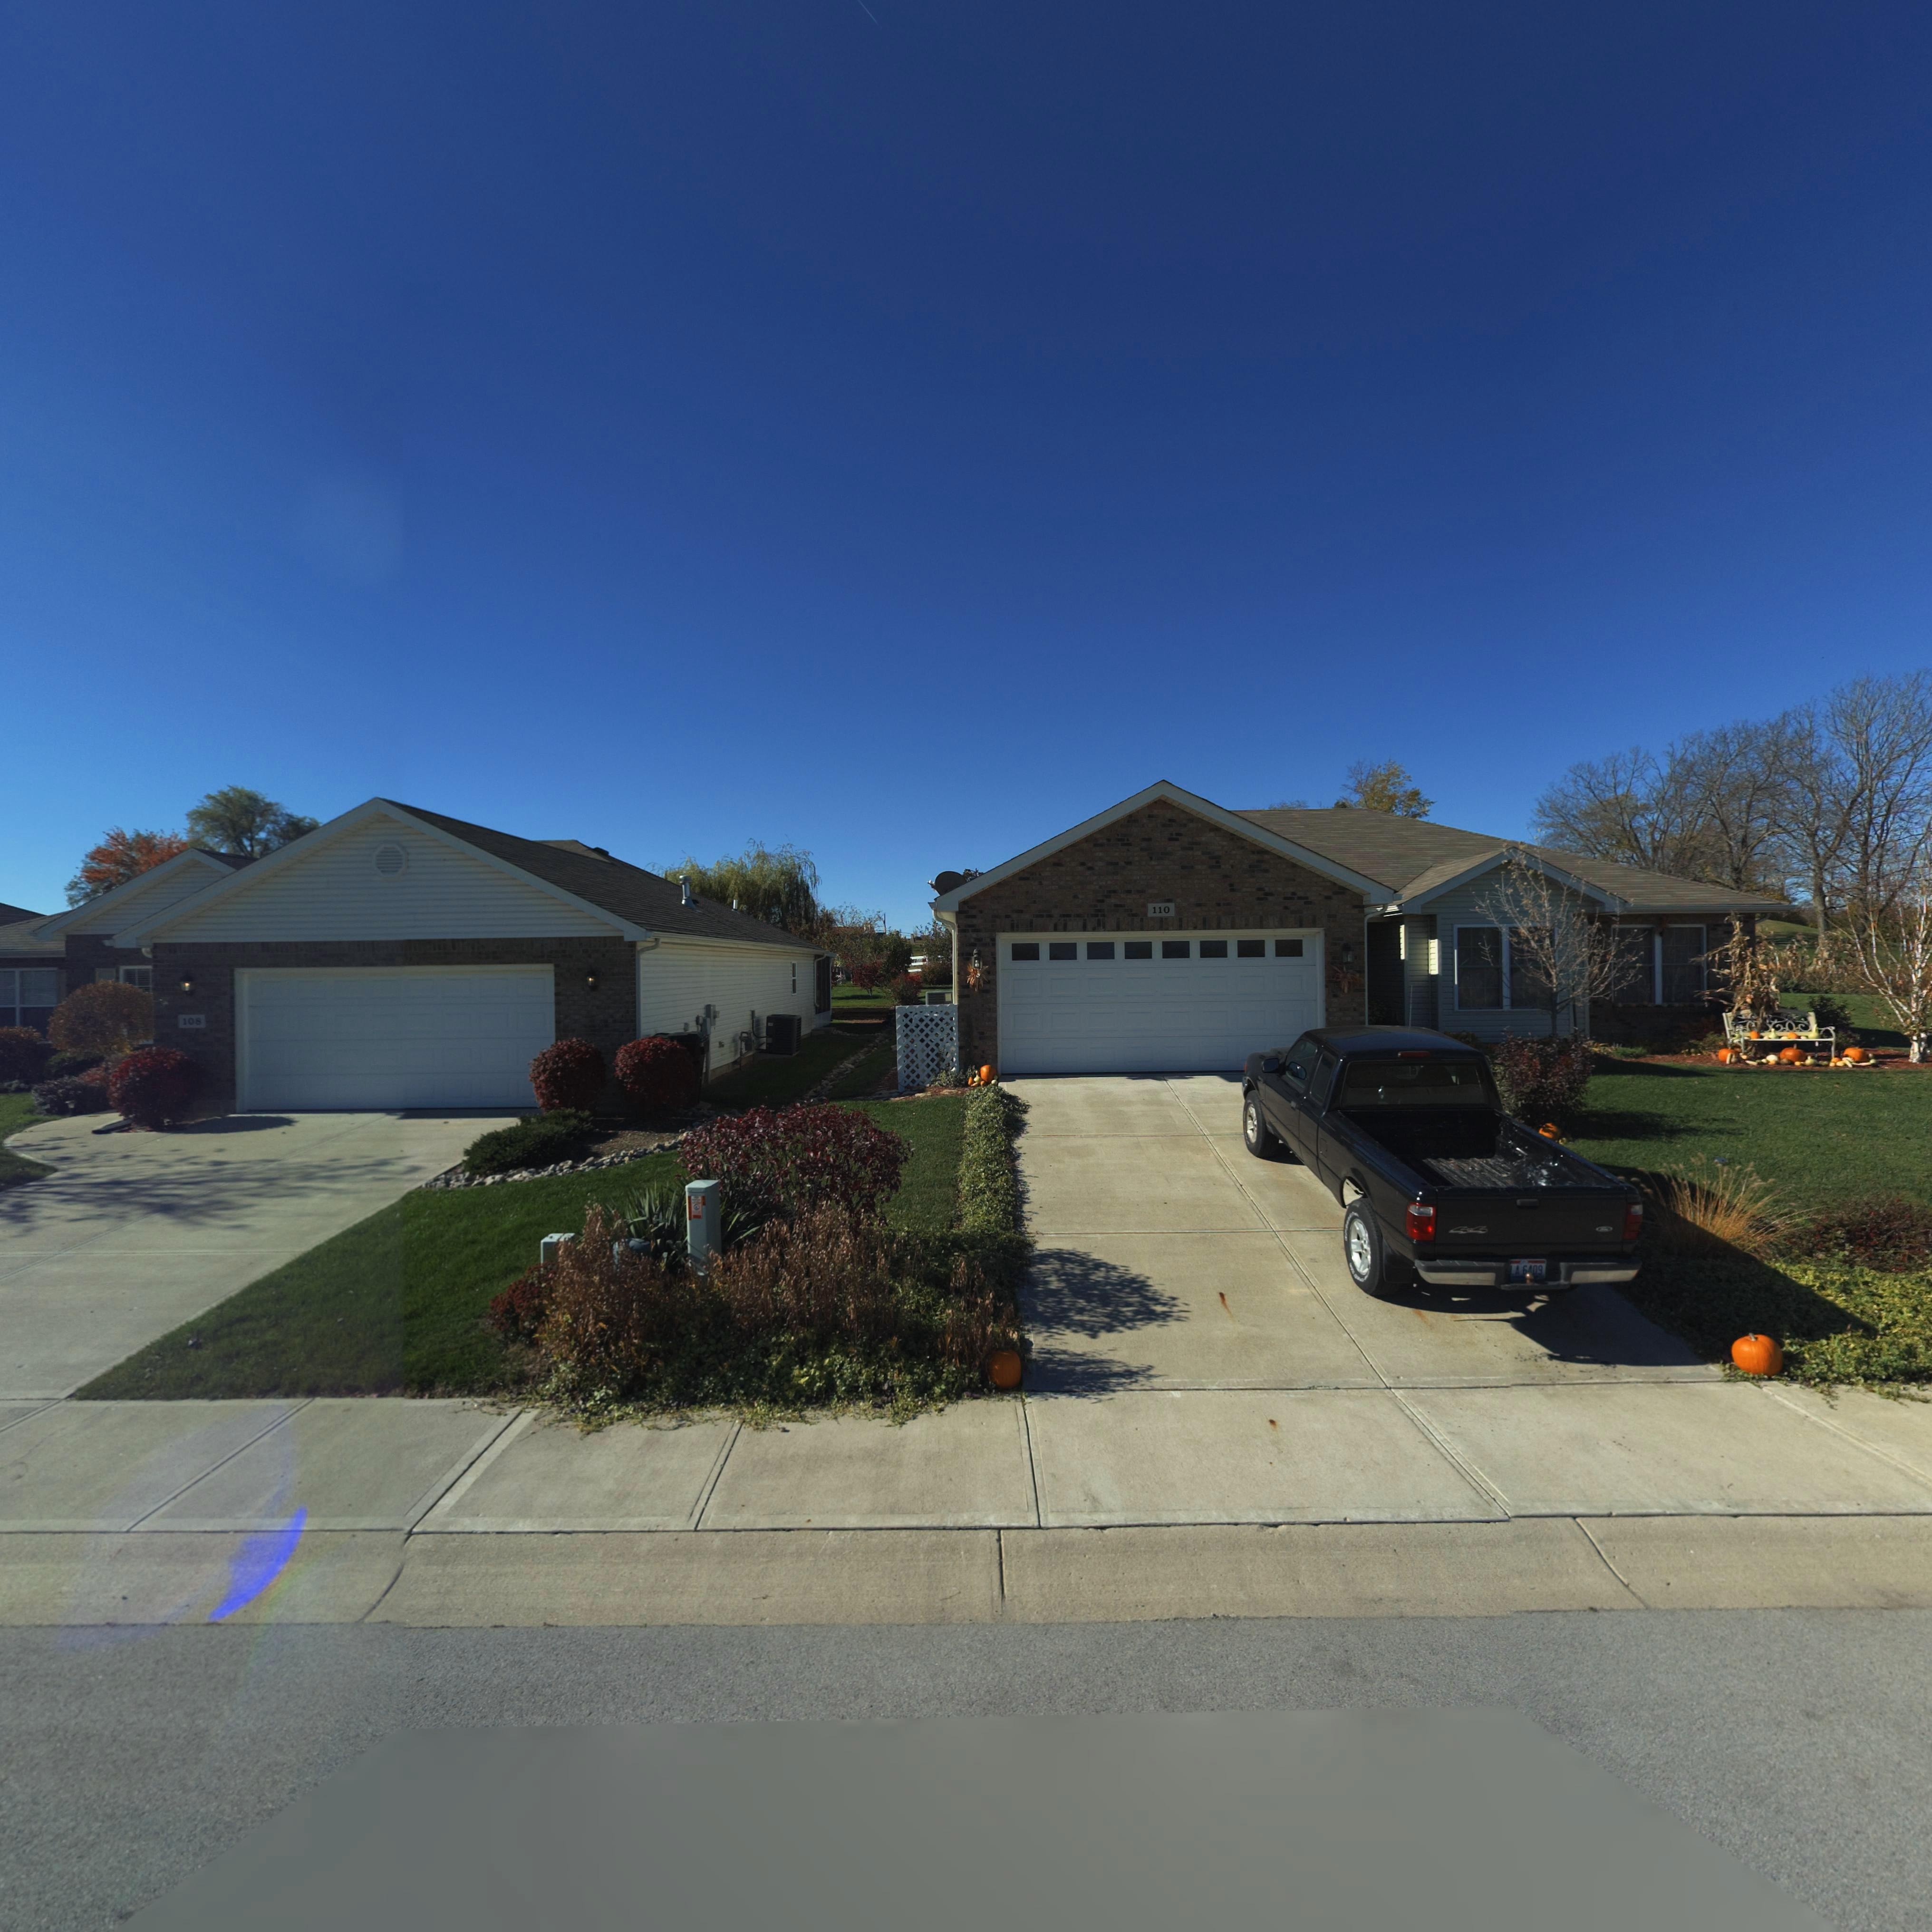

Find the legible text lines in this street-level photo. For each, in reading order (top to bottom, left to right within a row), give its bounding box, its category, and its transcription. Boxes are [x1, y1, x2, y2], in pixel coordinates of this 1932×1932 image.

[1152, 905, 1170, 915] StreetNumber: 110
[182, 1017, 202, 1026] StreetNumber: 108